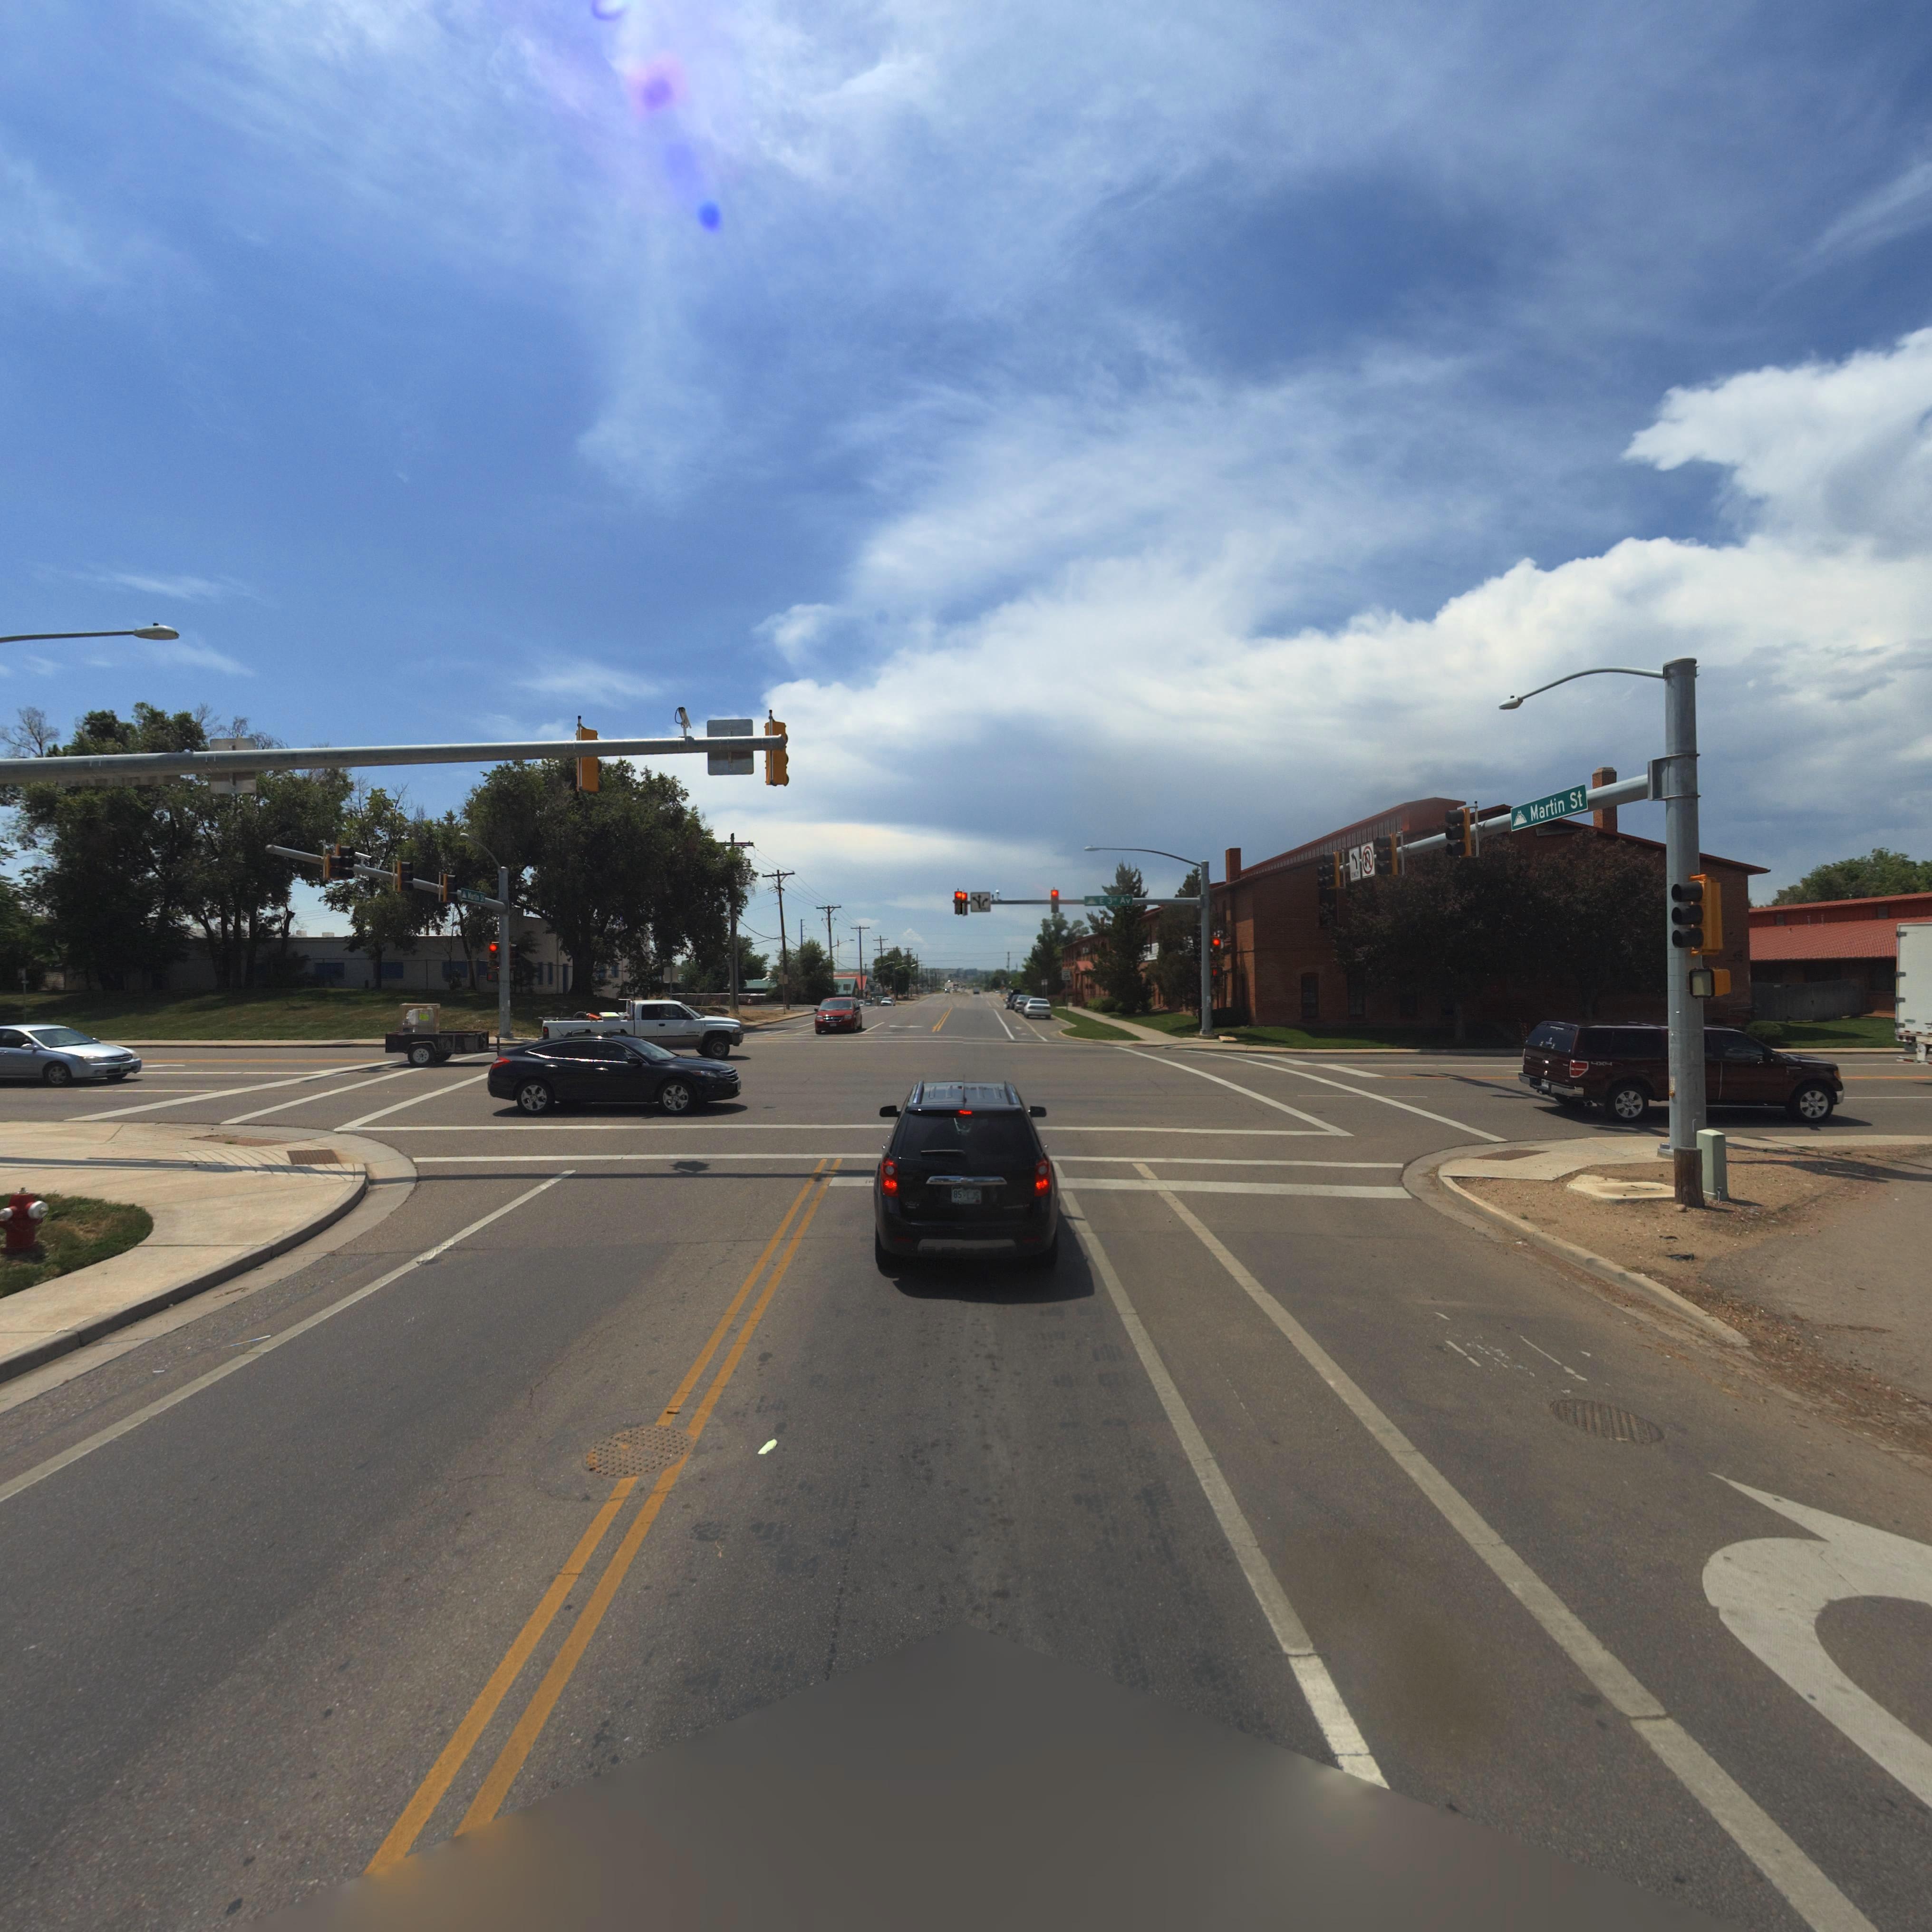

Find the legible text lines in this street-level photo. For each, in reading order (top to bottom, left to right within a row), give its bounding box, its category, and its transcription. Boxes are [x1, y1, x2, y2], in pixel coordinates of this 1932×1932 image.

[1529, 789, 1584, 821] StreetName: Martin St
[467, 891, 484, 902] StreetName: Martin St
[1099, 897, 1130, 904] StreetName: E 3rd Av